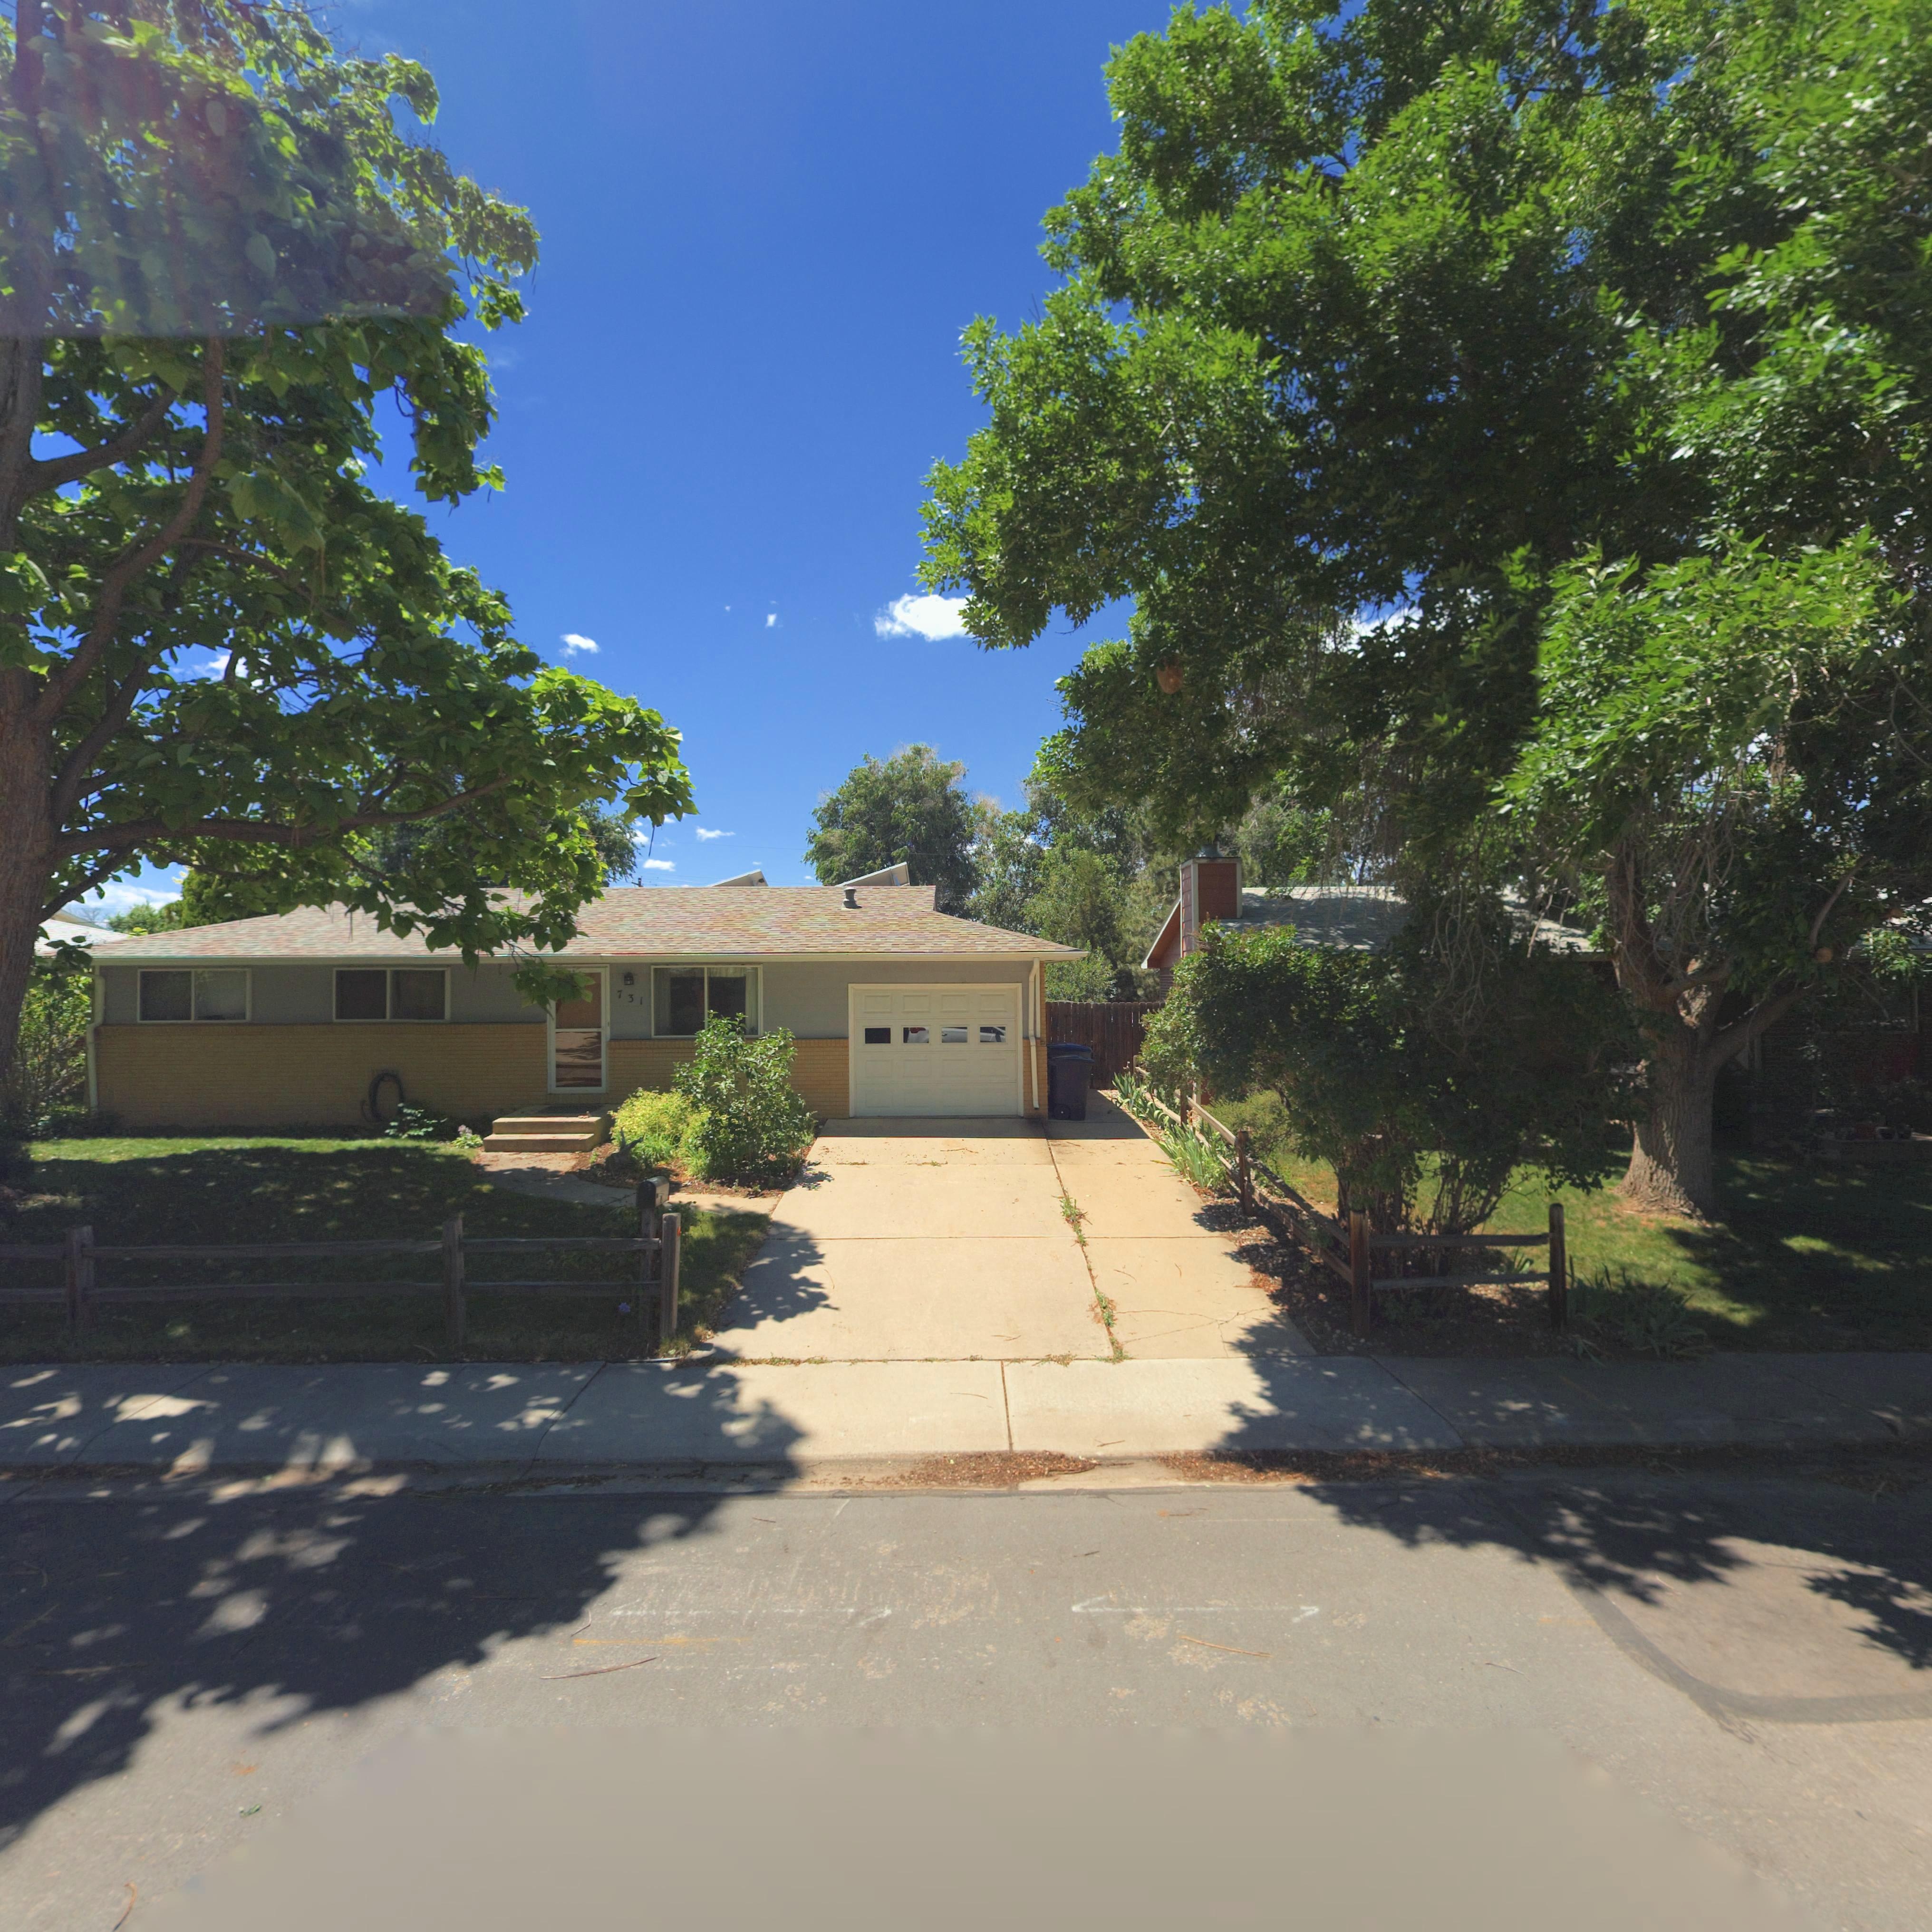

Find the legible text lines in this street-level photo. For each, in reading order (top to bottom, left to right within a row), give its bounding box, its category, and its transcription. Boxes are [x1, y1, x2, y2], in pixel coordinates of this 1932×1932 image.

[616, 989, 643, 1005] StreetNumber: 731